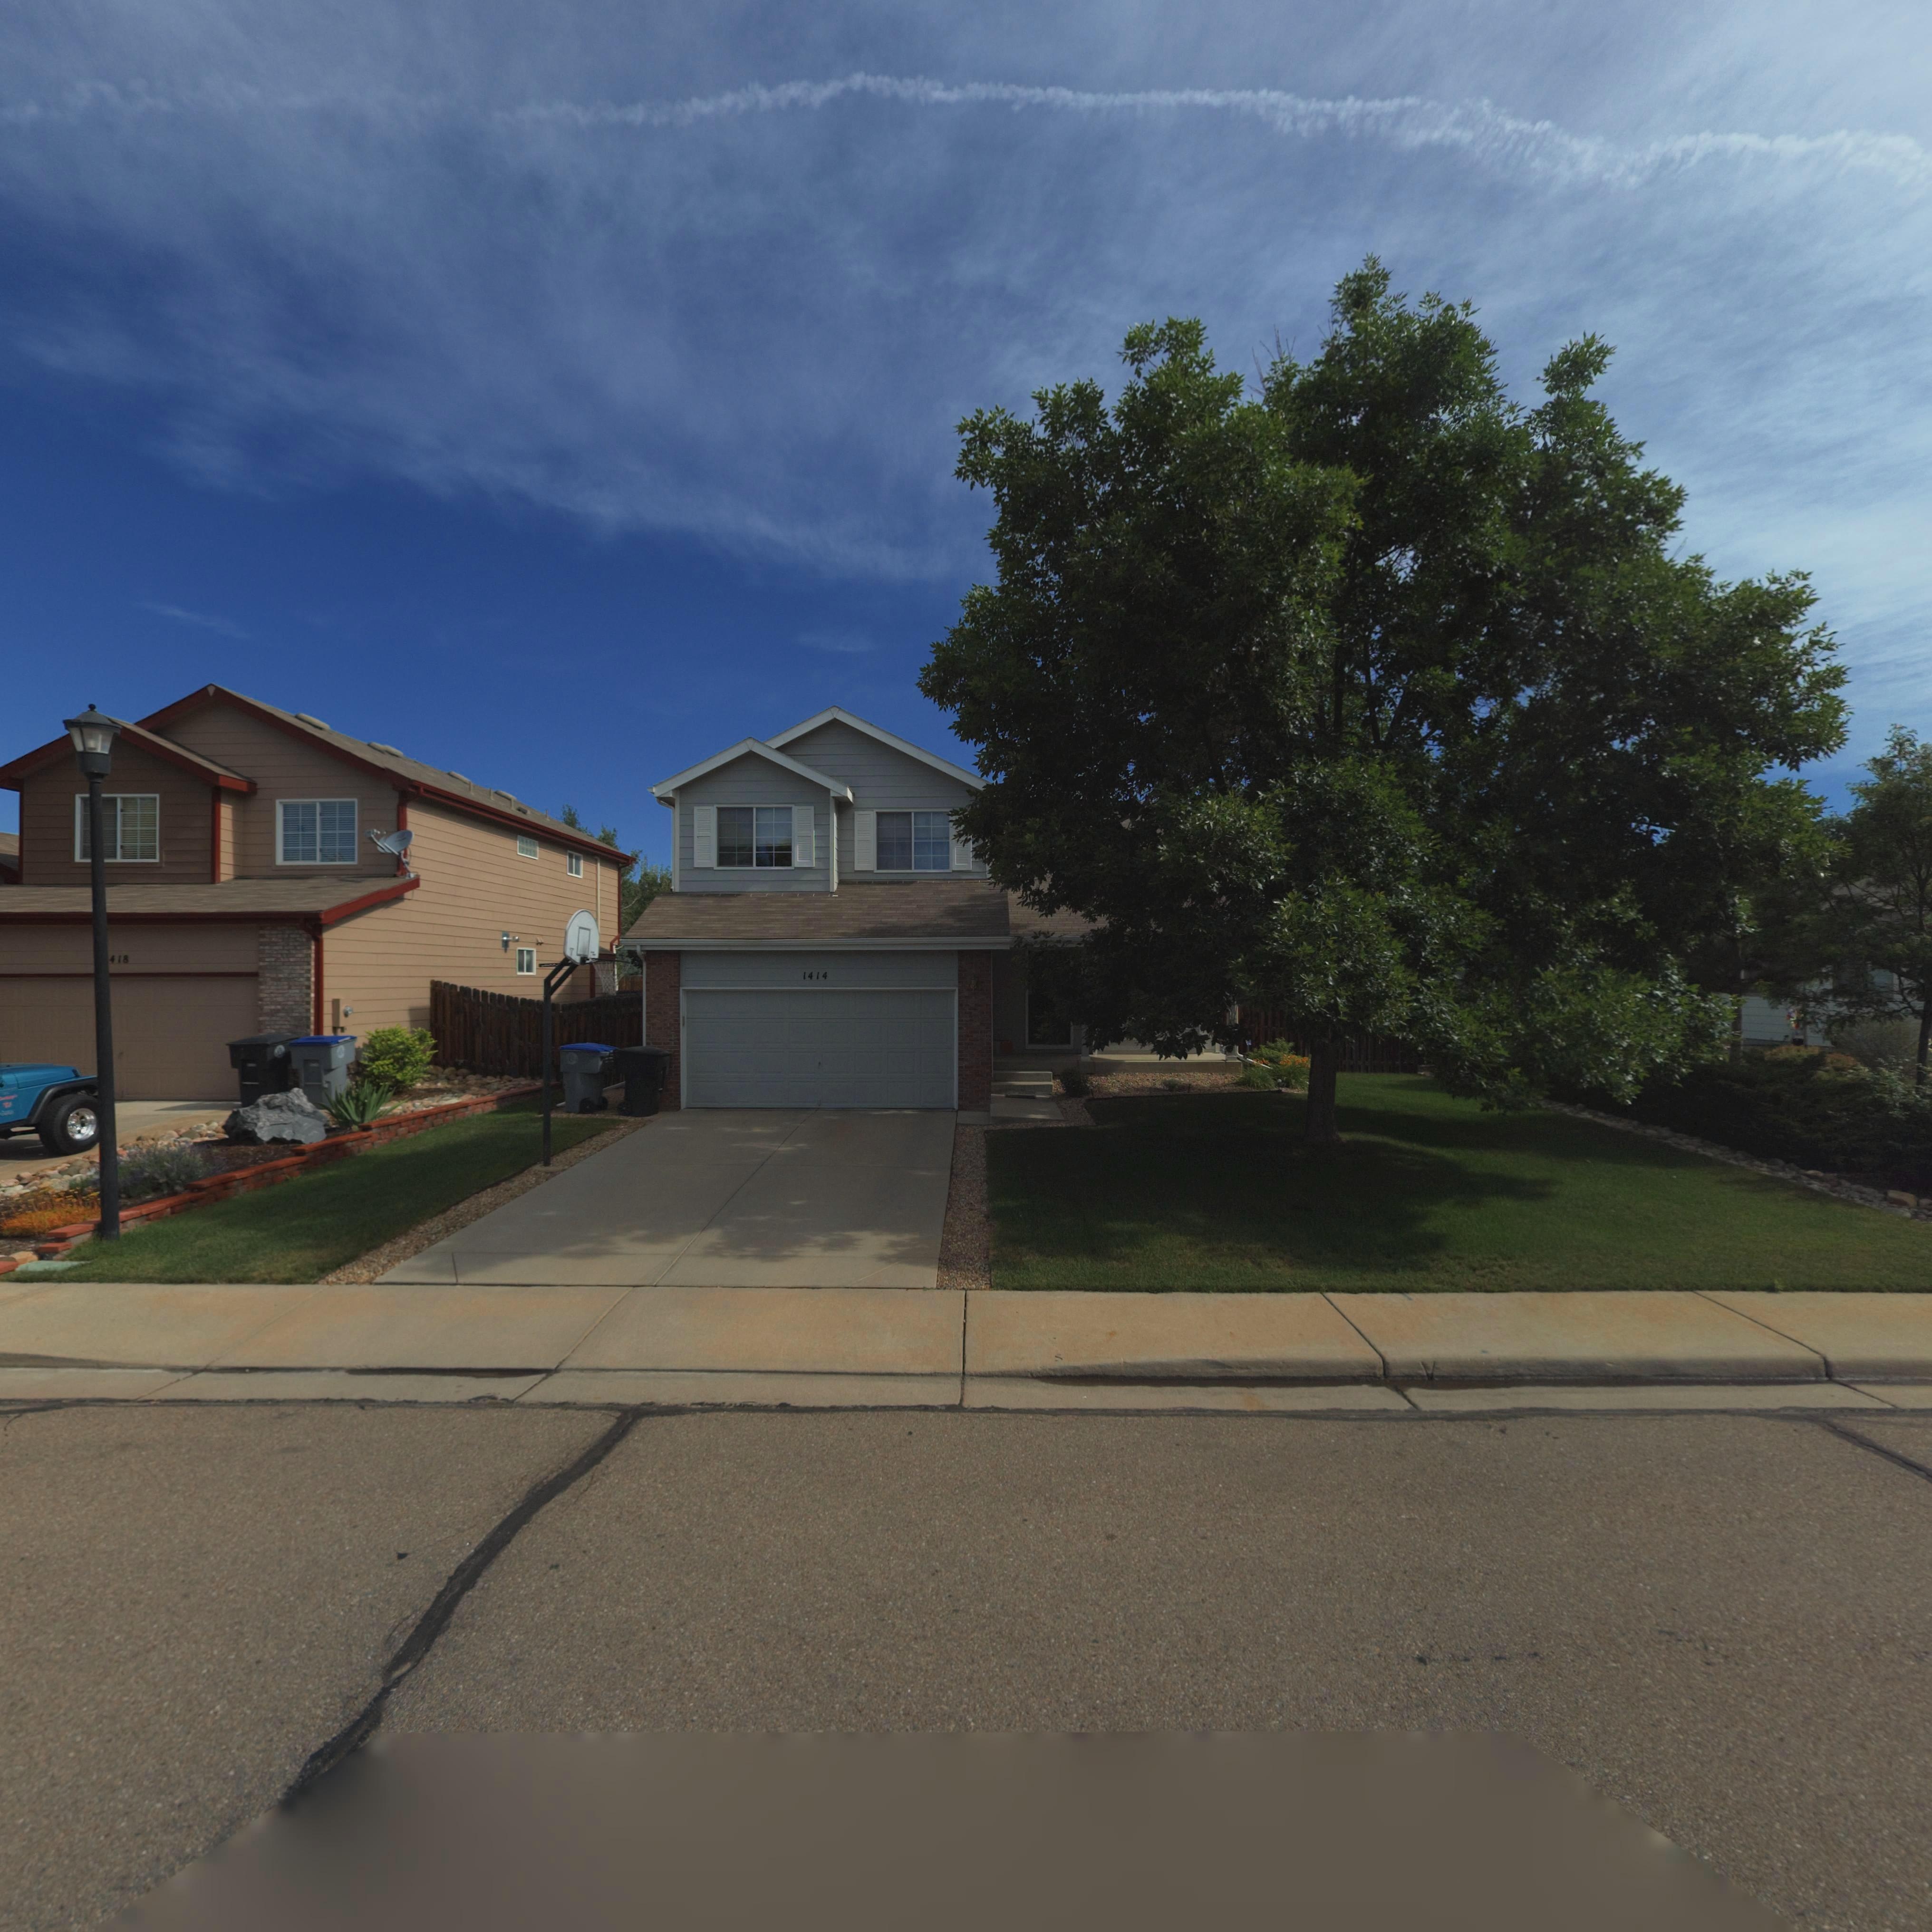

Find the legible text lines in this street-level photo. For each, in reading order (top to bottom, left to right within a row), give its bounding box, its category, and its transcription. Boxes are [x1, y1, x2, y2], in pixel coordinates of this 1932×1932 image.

[109, 953, 129, 964] StreetNumber: 418
[802, 971, 828, 980] StreetNumber: 1414